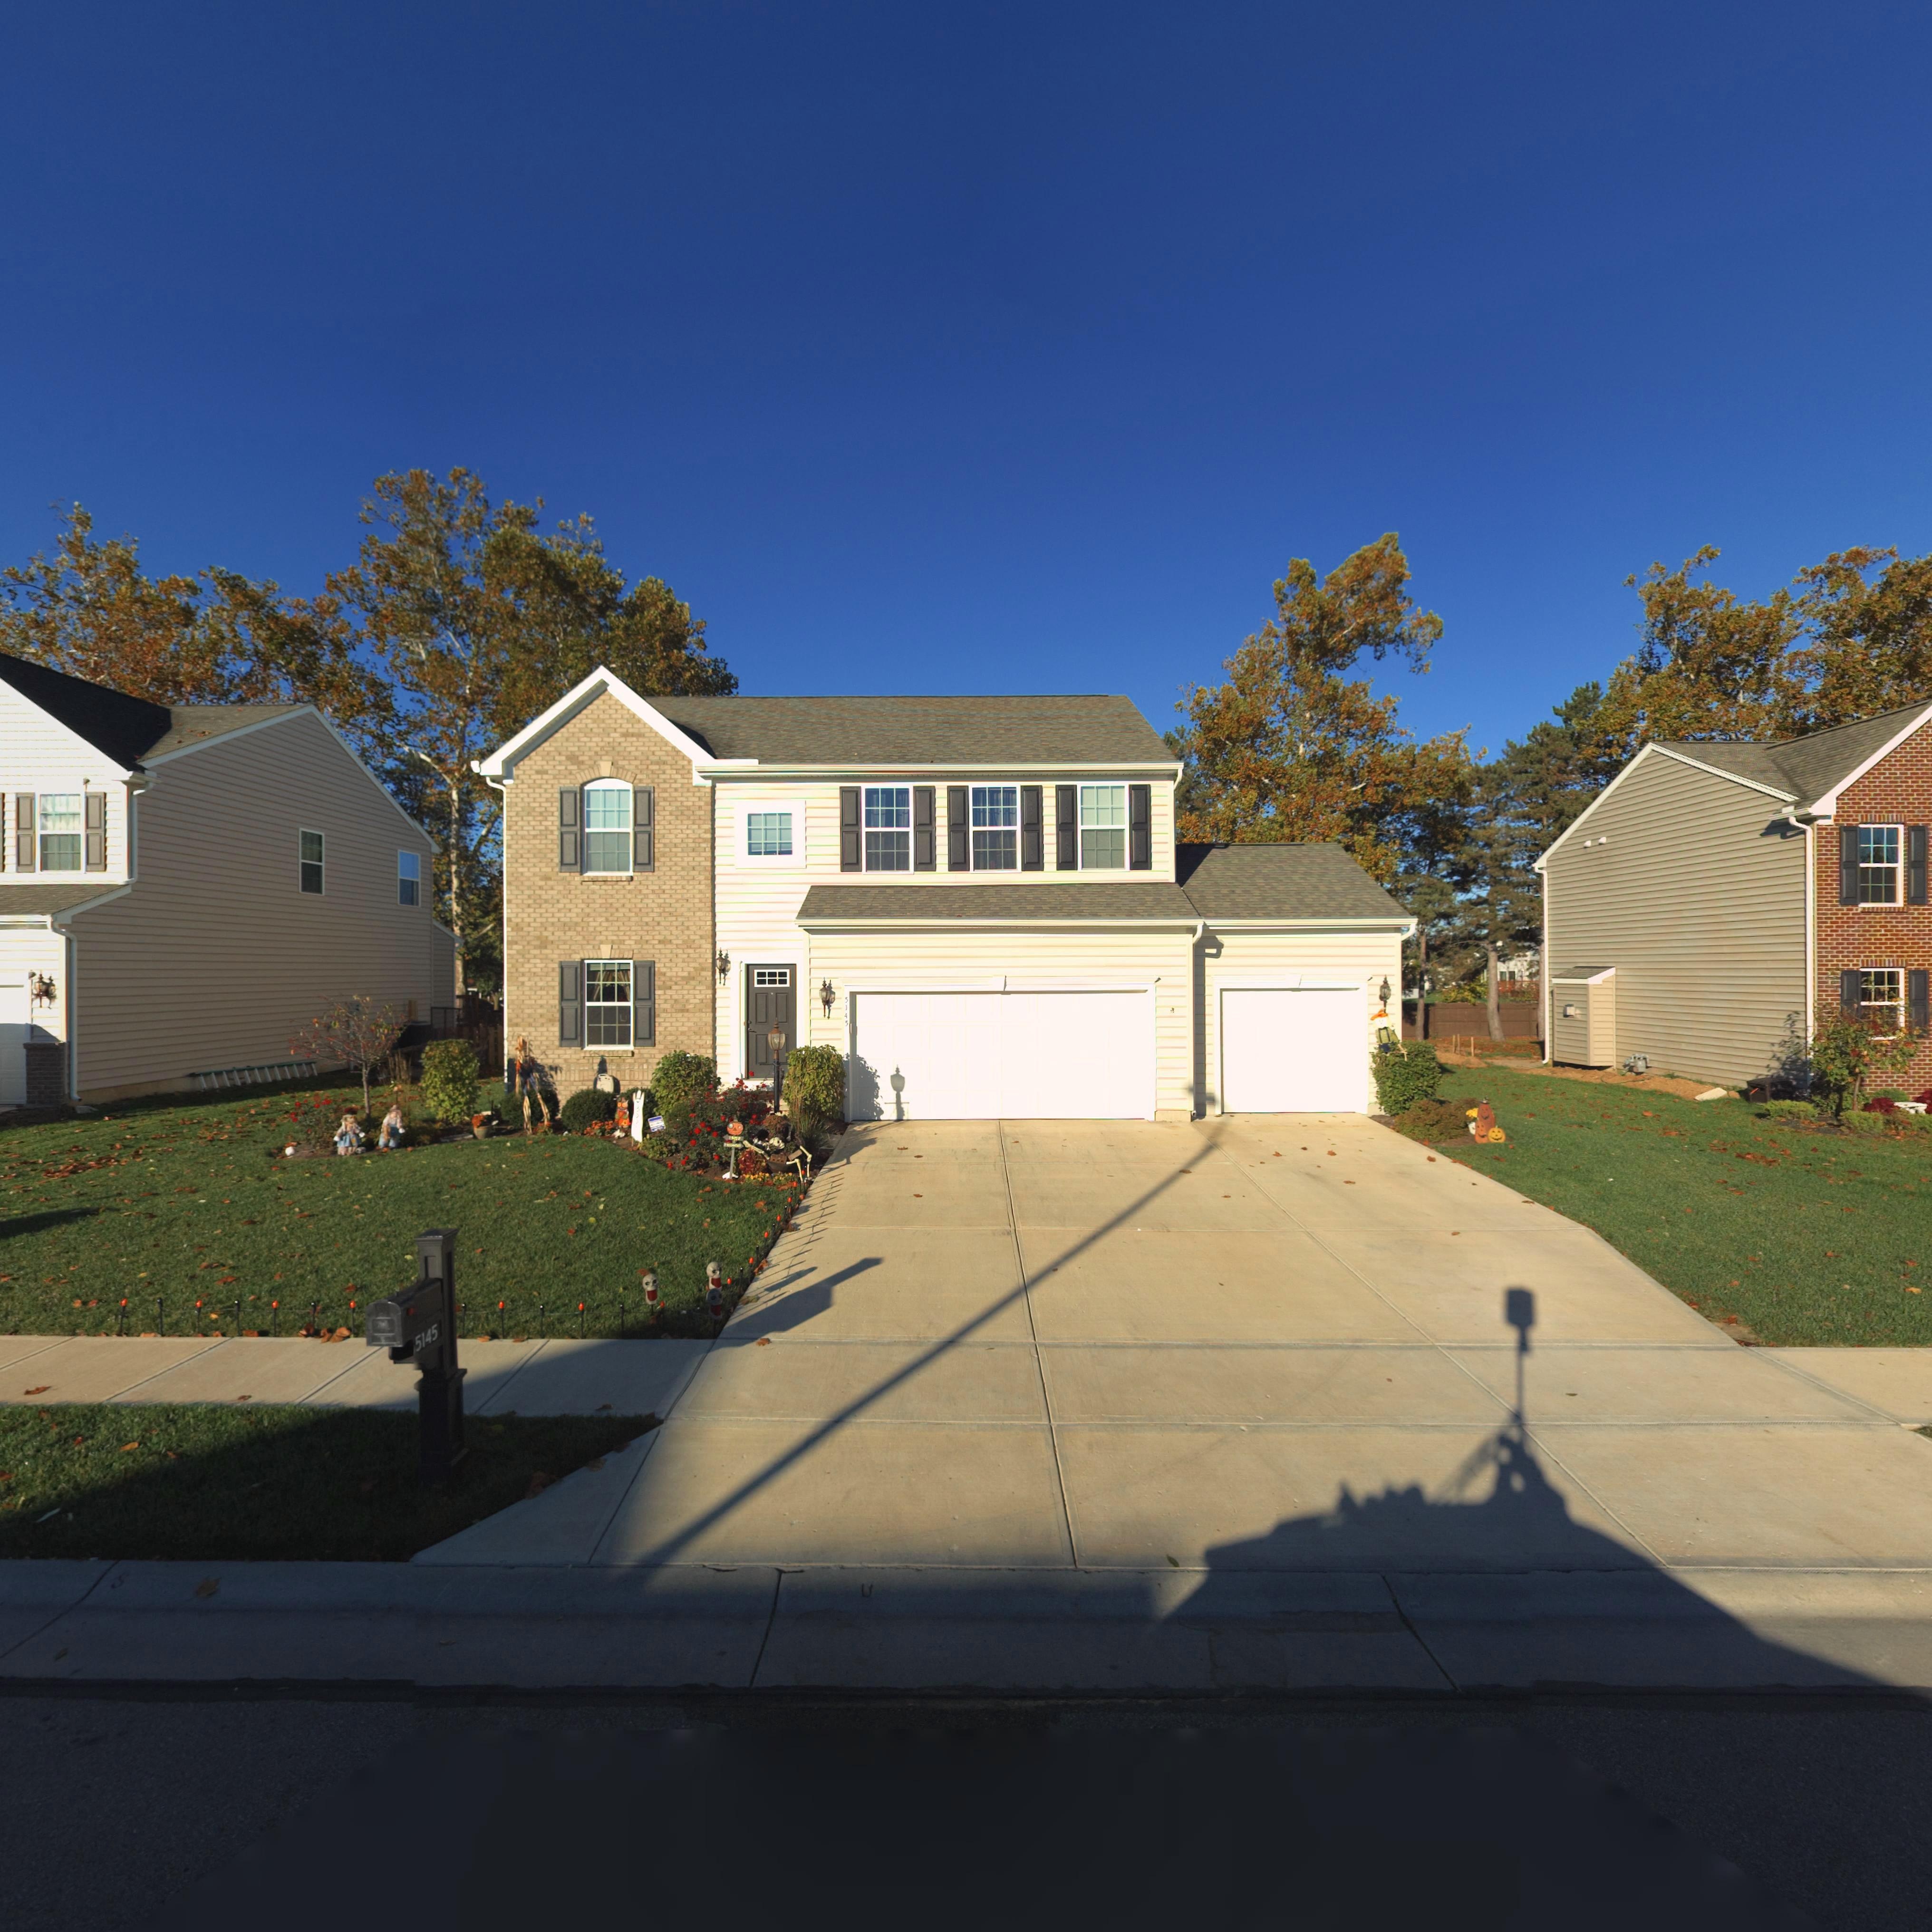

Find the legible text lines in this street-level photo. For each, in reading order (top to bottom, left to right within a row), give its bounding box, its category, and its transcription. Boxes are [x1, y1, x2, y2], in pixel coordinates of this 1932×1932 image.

[843, 995, 849, 1028] StreetNumber: 5145
[413, 1321, 440, 1355] StreetNumber: 5145